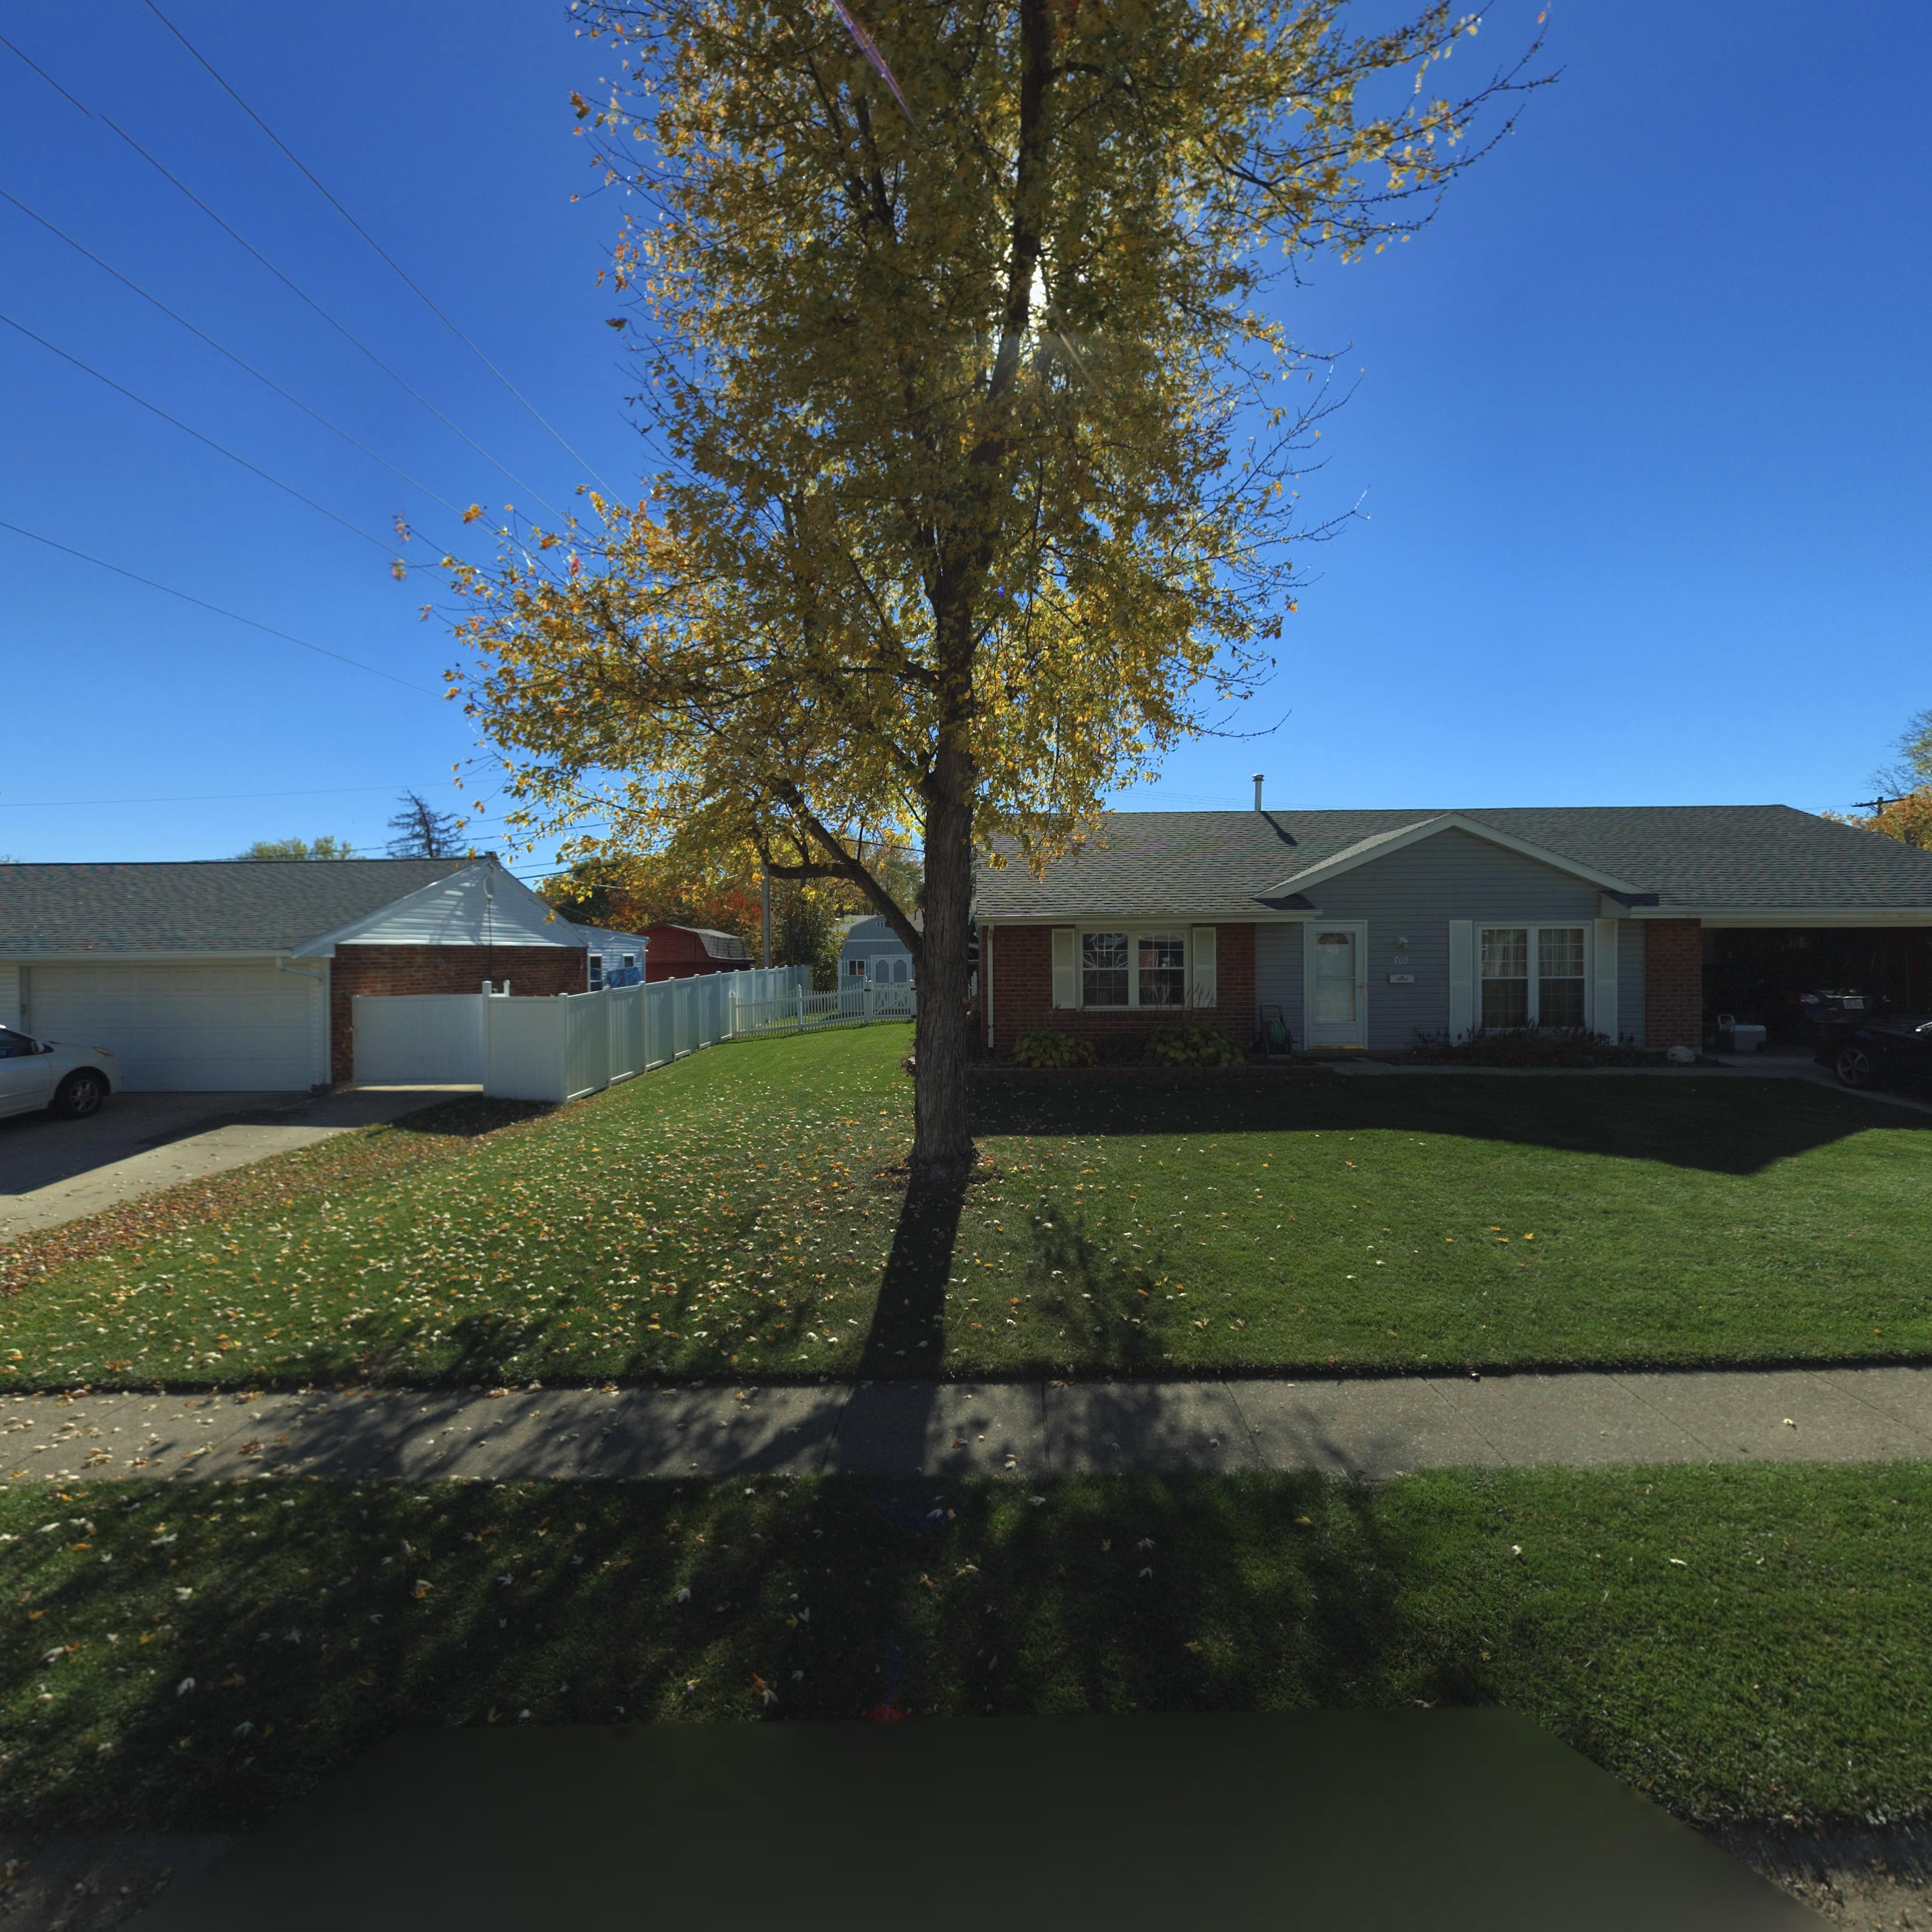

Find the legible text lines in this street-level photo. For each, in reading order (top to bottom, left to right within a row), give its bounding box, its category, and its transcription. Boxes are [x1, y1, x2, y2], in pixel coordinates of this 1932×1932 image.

[1393, 956, 1409, 966] StreetNumber: 805